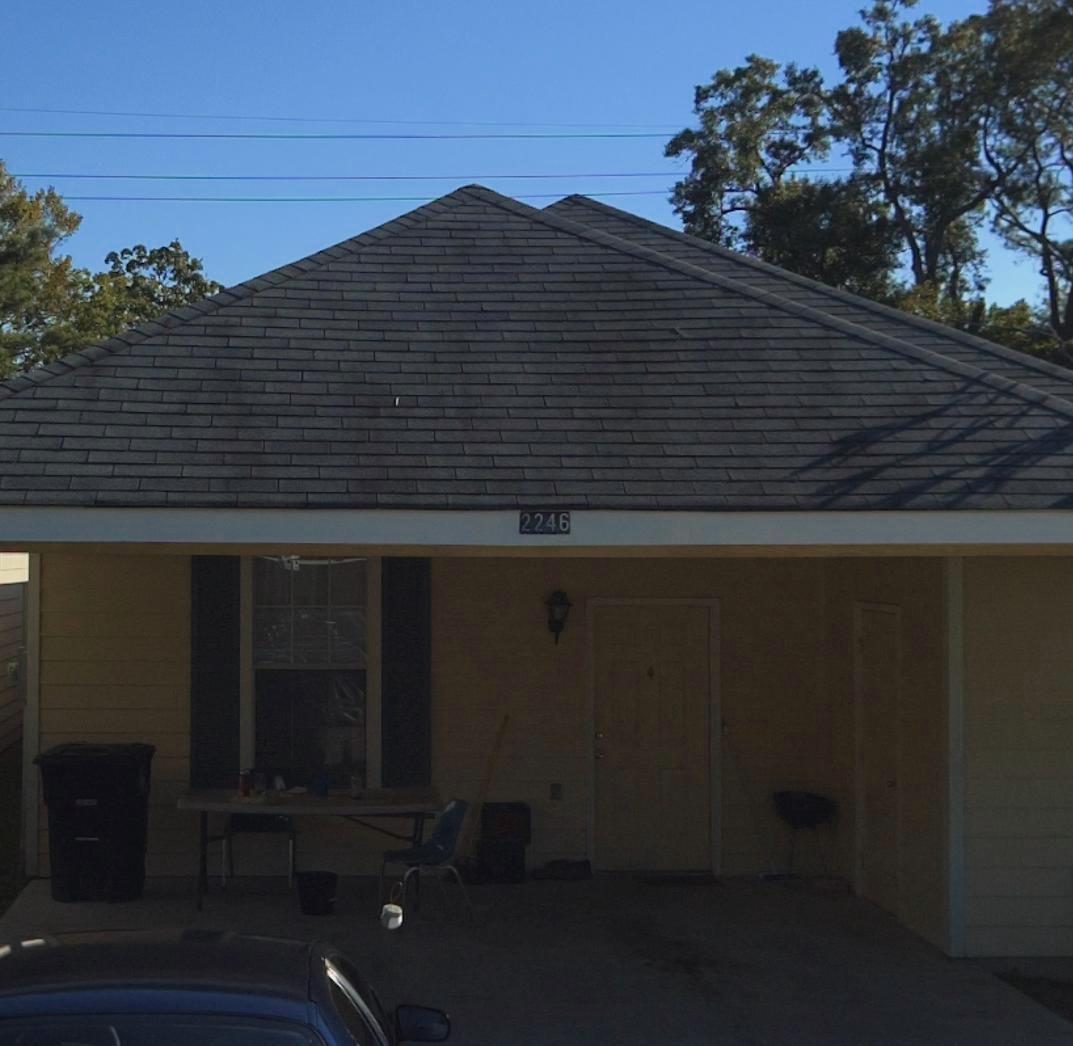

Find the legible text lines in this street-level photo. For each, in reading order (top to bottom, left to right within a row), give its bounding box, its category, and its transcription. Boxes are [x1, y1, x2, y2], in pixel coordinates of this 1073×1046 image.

[521, 512, 570, 533] StreetNumber: 2246